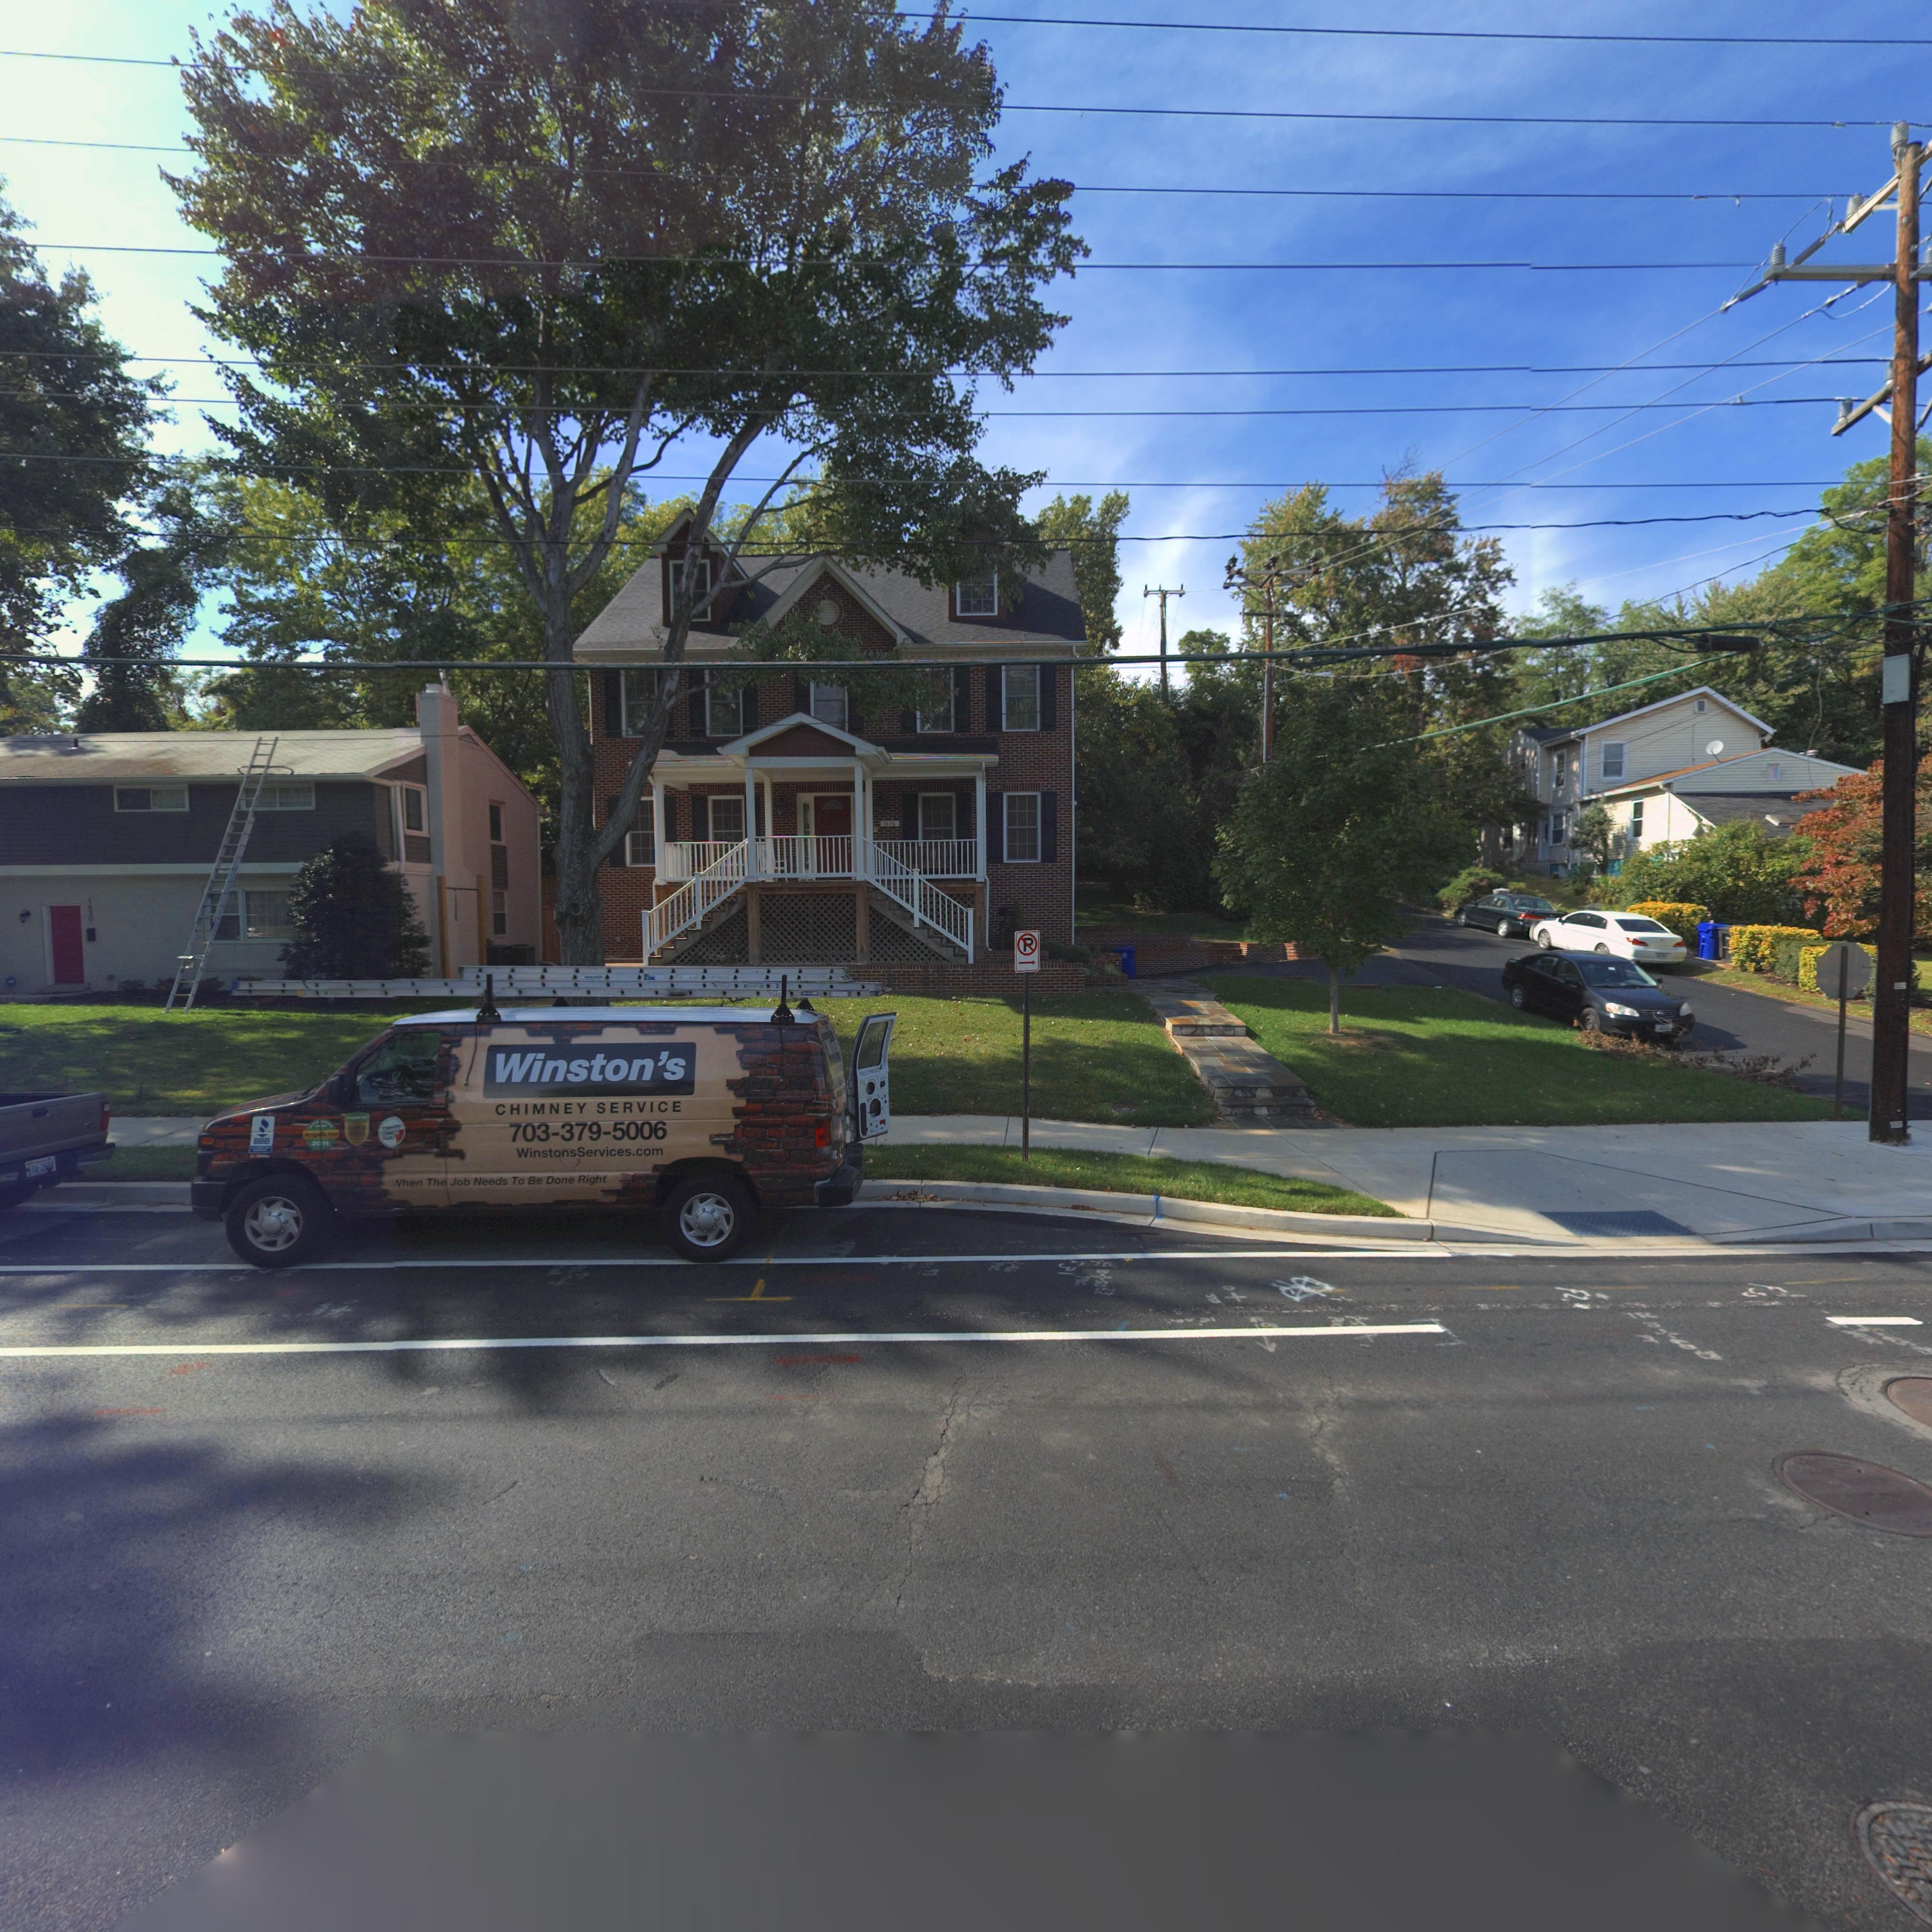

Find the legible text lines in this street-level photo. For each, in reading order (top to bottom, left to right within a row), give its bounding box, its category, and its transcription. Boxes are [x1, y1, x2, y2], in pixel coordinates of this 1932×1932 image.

[882, 820, 897, 827] StreetNumber: 1636
[86, 895, 95, 923] StreetNumber: 1630
[493, 1049, 688, 1084] None: Winston's
[494, 1100, 683, 1117] None: CHIMNEY SERVICE
[507, 1119, 669, 1144] None: 703-379-5006
[251, 1136, 271, 1146] None: BBB
[514, 1145, 665, 1159] None: WinstonsServices.com
[390, 1173, 609, 1188] None: When The Job Needs To Be Done Right